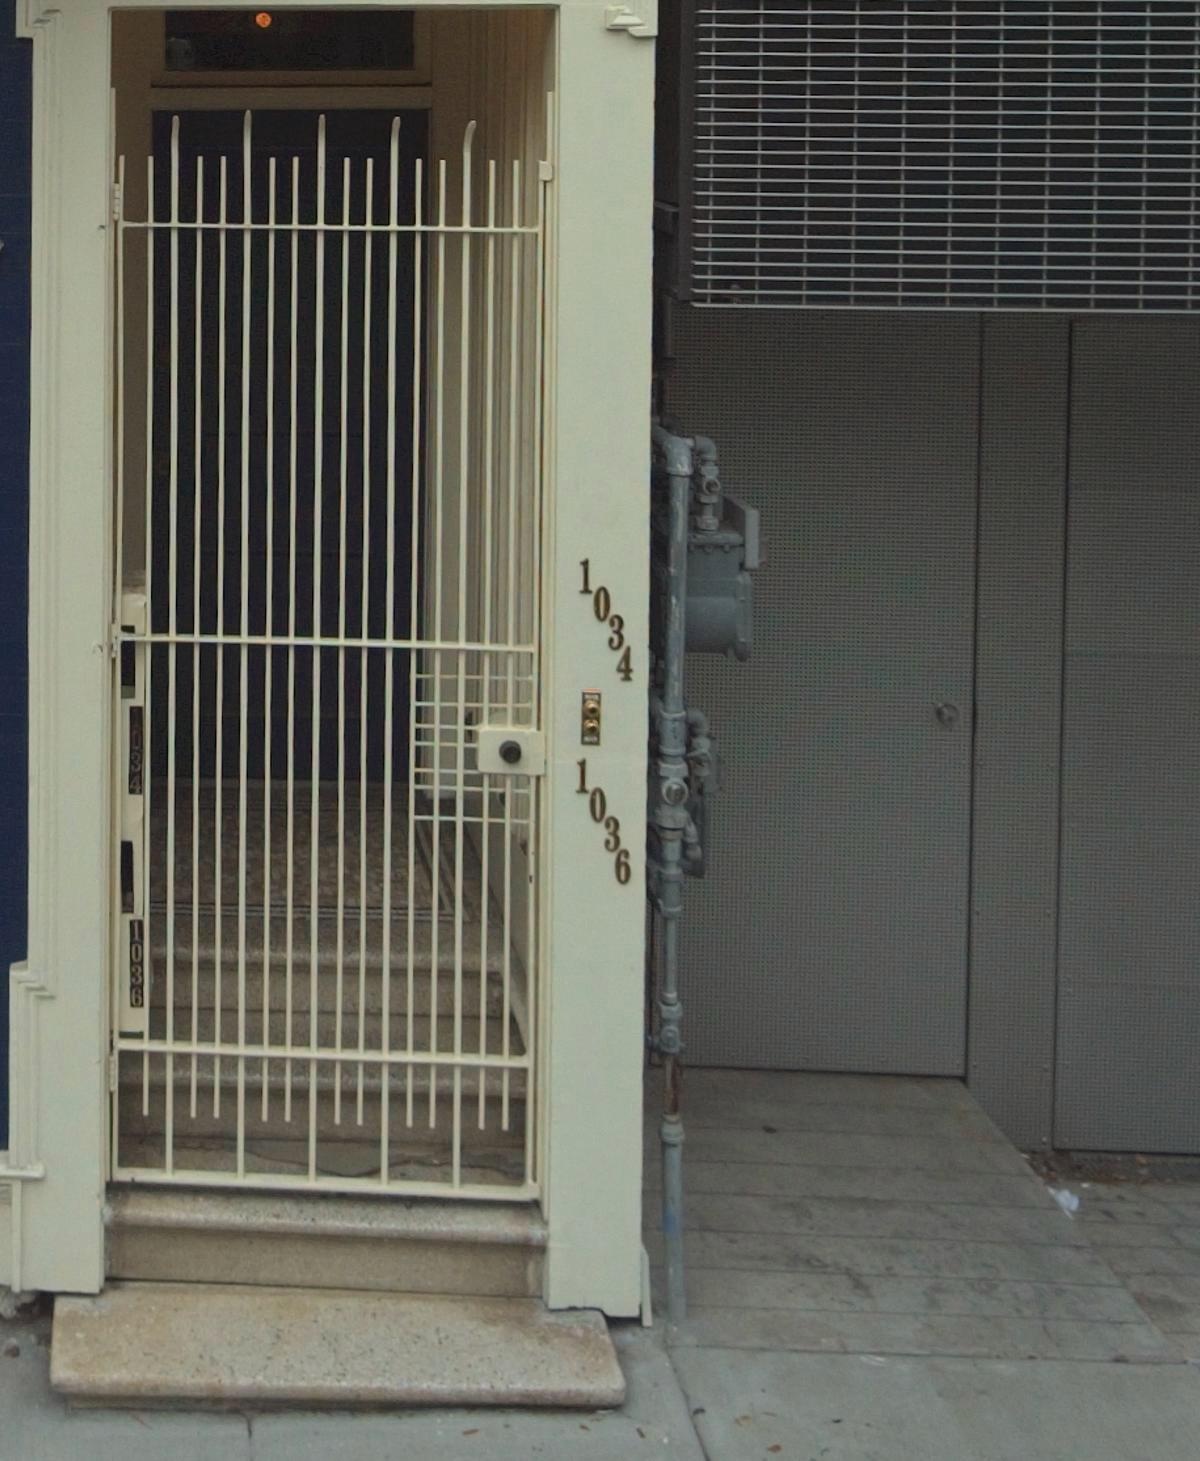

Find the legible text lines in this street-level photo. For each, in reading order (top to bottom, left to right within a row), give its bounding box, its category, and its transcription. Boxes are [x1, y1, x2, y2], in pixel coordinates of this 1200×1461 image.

[575, 554, 638, 685] StreetNumber: 1034
[127, 704, 144, 796] StreetNumber: 1034
[570, 753, 635, 889] StreetNumber: 1036
[128, 919, 147, 1009] StreetNumber: 1036